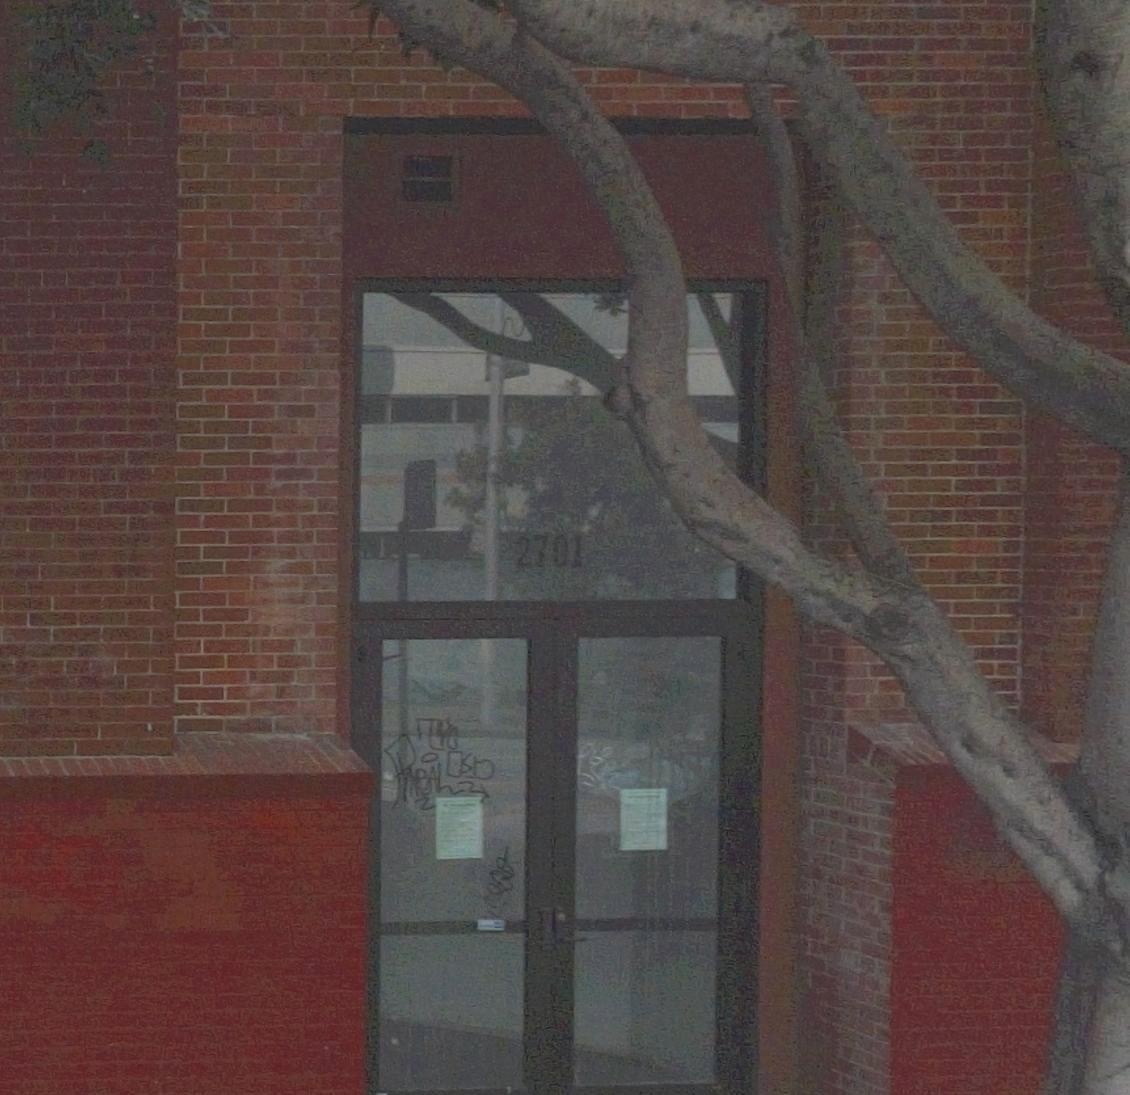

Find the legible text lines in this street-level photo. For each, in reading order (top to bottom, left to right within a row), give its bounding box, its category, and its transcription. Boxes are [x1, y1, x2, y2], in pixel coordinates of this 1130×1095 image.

[513, 534, 584, 568] StreetNumber: 2701